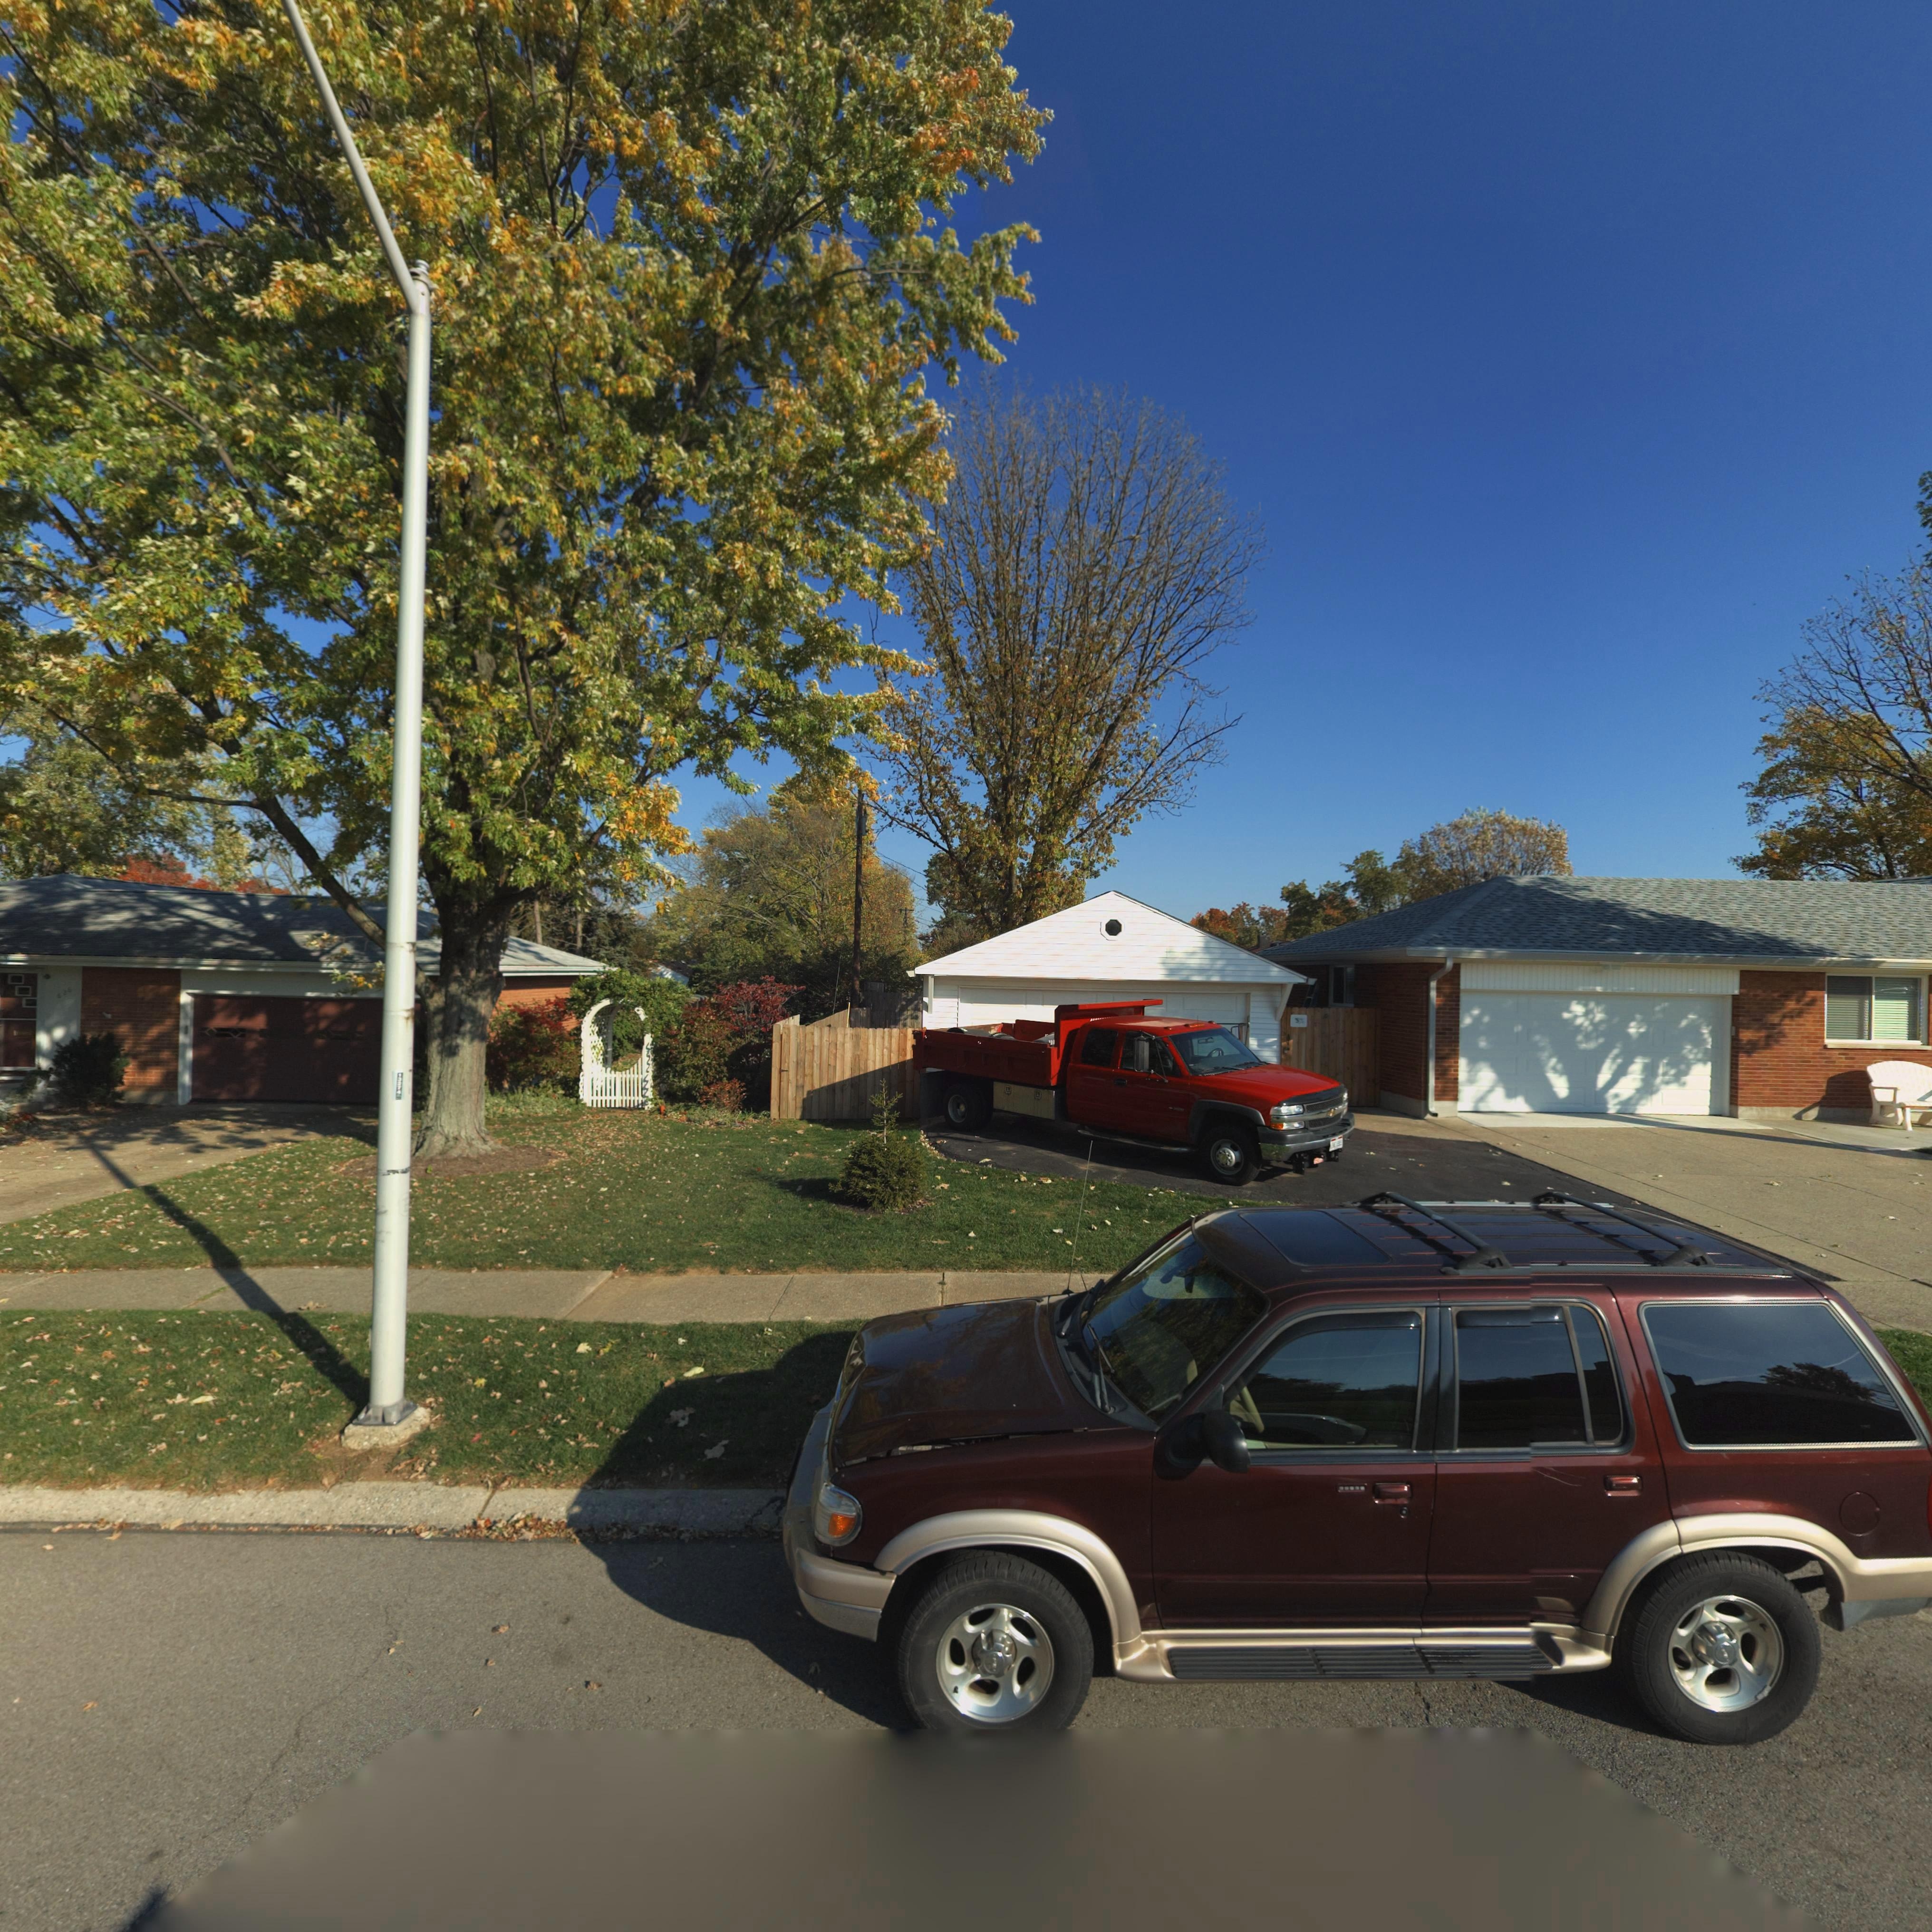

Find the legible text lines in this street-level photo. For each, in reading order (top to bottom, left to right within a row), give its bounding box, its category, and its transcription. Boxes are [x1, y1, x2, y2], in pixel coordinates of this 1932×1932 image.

[56, 985, 73, 1000] StreetNumber: 626